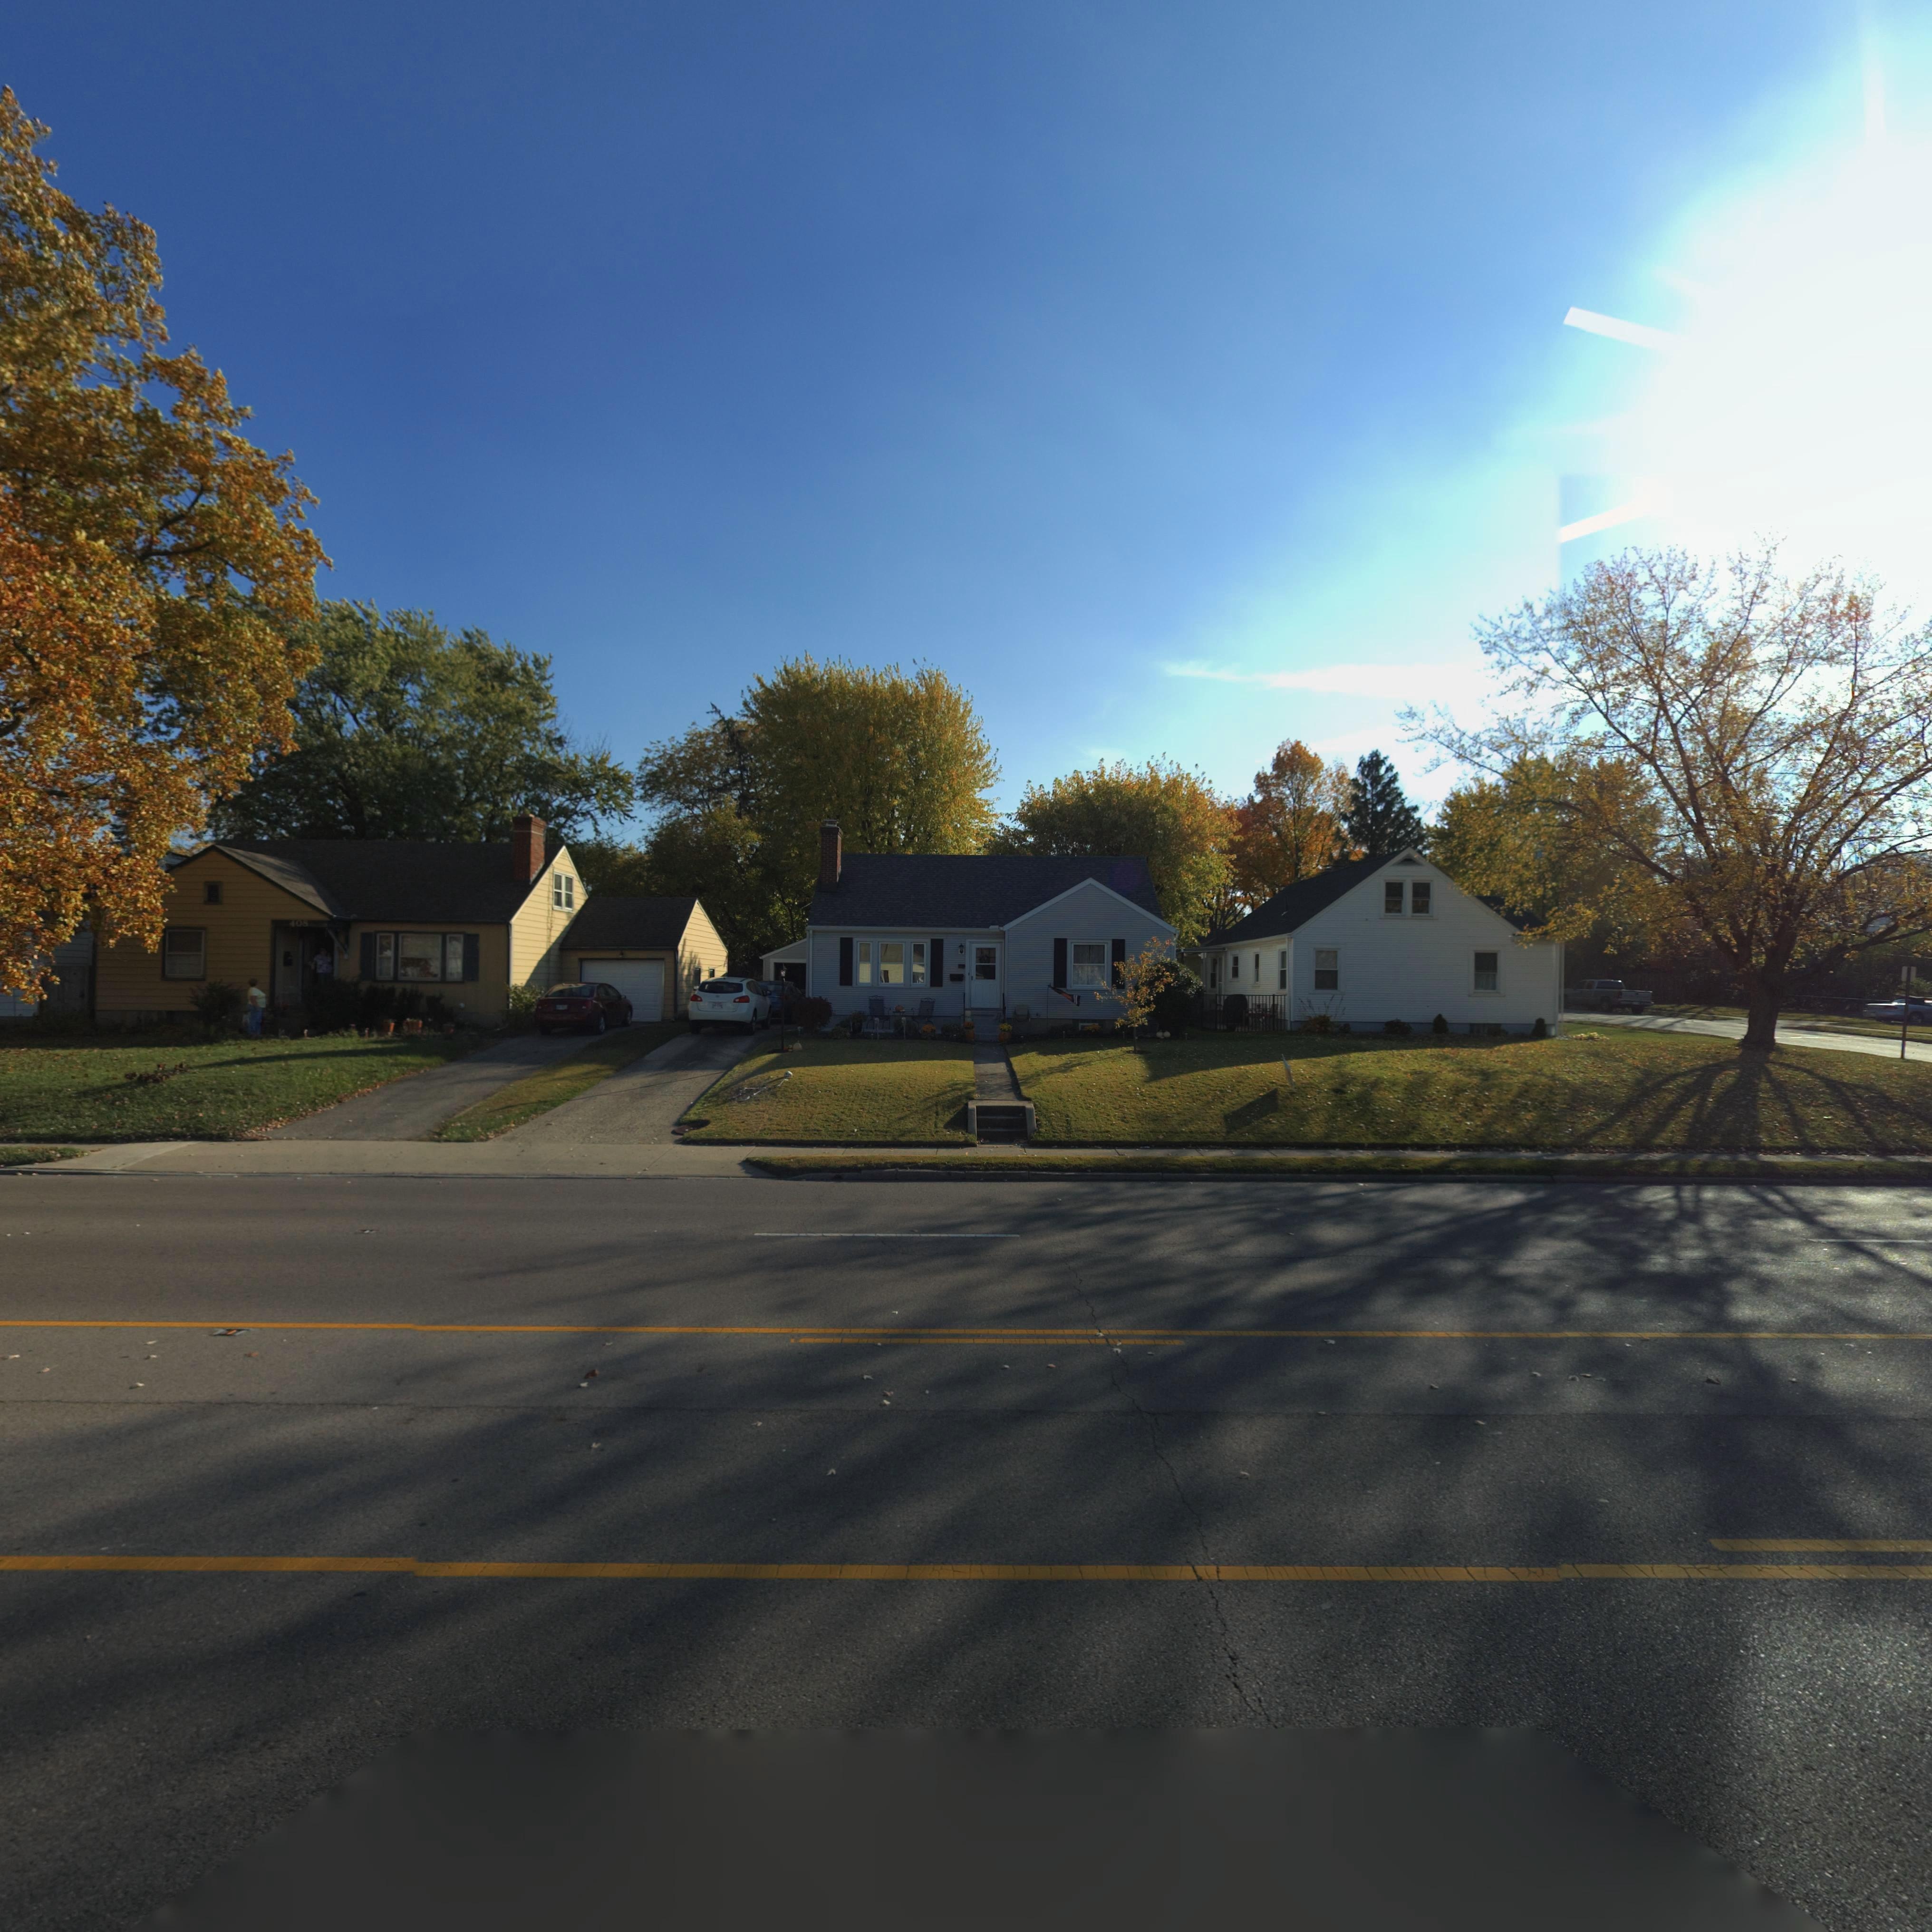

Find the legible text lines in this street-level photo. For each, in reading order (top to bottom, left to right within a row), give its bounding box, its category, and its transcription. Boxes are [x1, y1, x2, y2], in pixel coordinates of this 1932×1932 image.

[288, 919, 309, 927] StreetNumber: 408